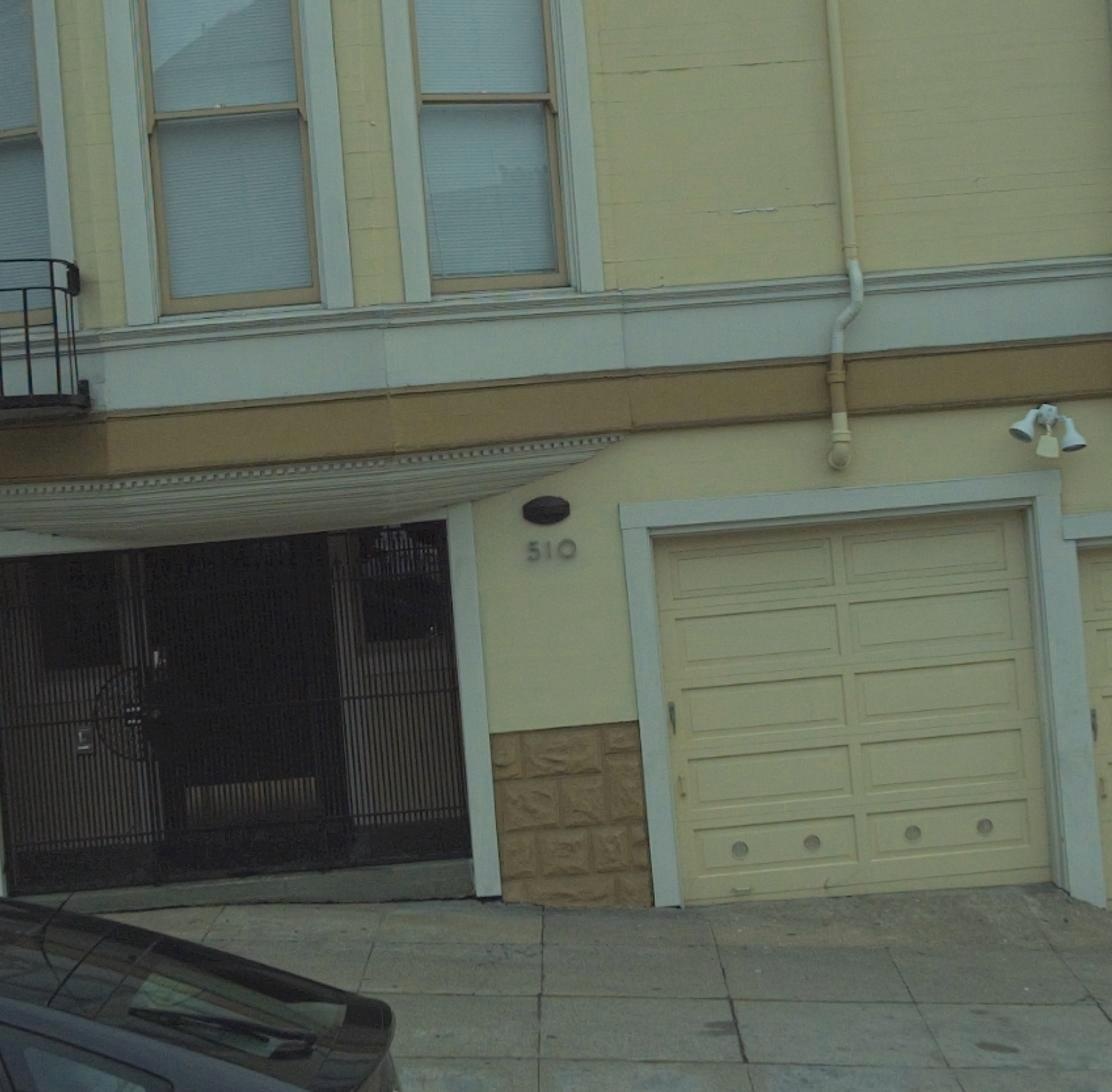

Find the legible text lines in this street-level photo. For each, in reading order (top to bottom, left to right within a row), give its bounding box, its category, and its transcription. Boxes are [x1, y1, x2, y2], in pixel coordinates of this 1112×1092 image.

[525, 535, 578, 565] StreetNumber: 510